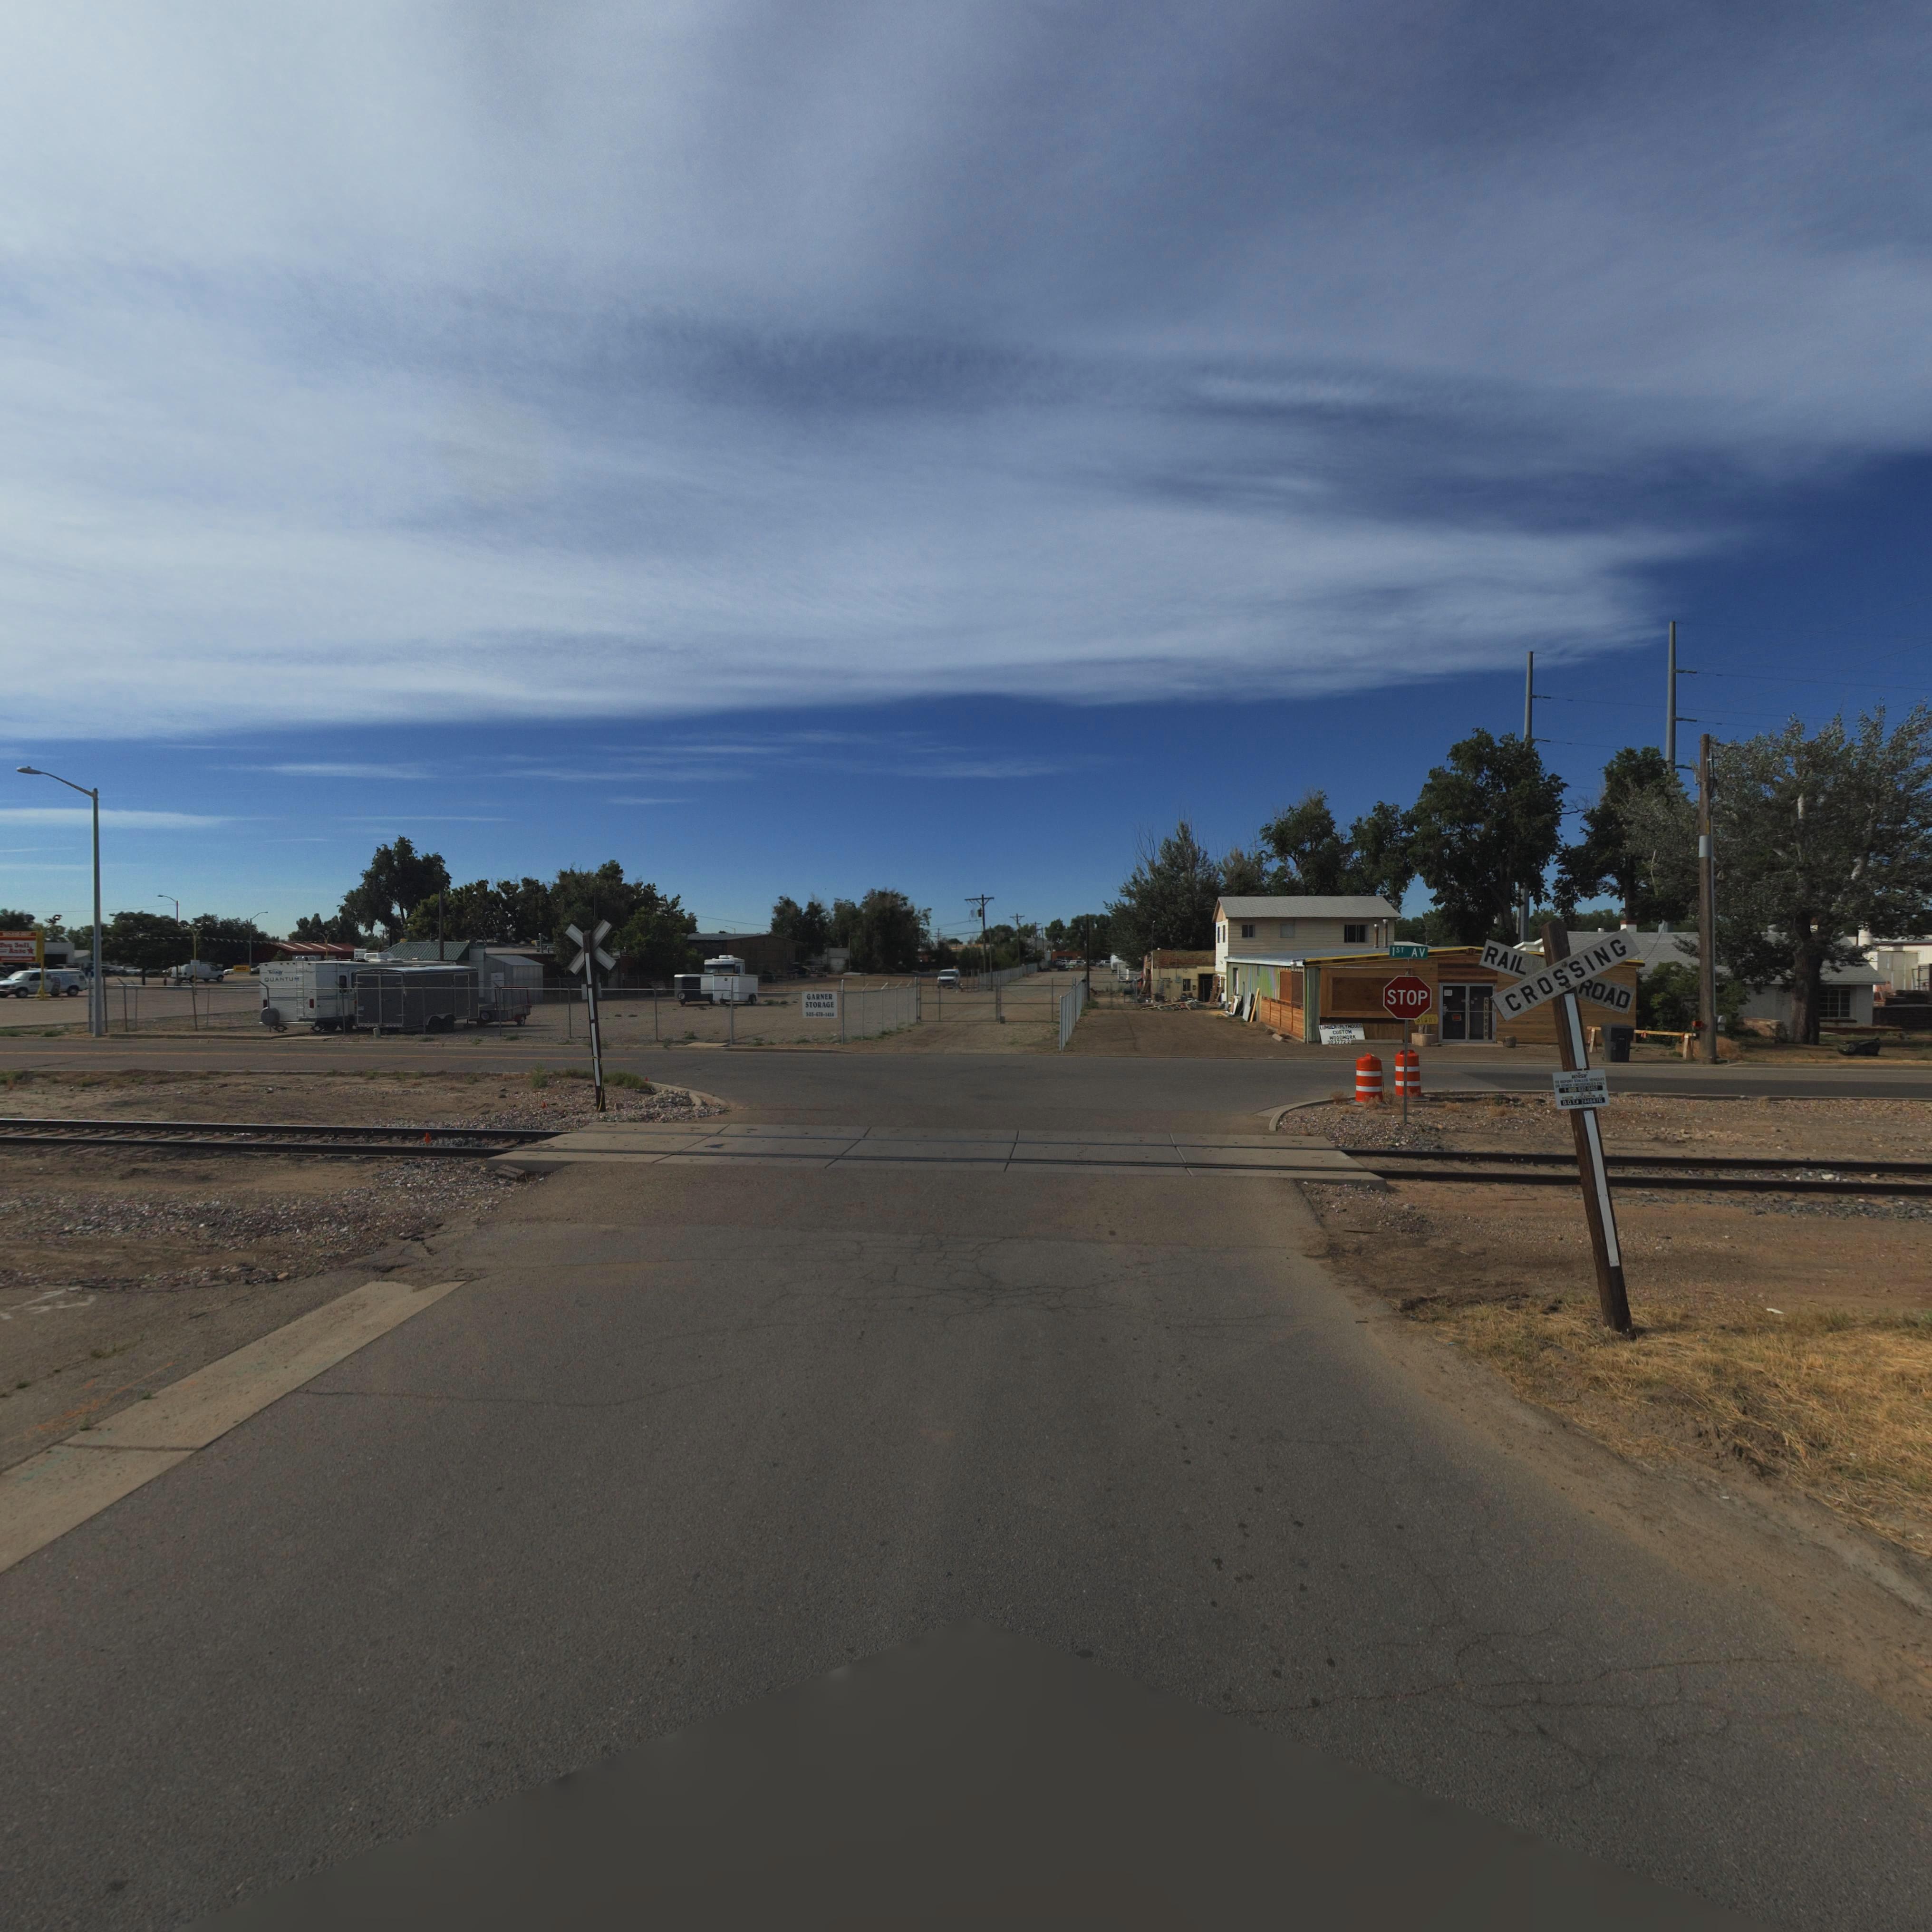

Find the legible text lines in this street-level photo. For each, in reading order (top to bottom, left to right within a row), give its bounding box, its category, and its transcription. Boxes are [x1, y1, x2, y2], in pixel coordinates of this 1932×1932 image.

[14, 941, 29, 947] BusinessName: Sell
[8, 947, 26, 954] BusinessName: Auto
[1391, 947, 1426, 957] StreetName: 1ST AV
[1466, 948, 1476, 955] StreetNumber: 617
[806, 993, 832, 1000] BusinessName: GARNER
[805, 1001, 834, 1007] BusinessName: STORAGE
[1420, 1015, 1437, 1023] BusinessName: *an's